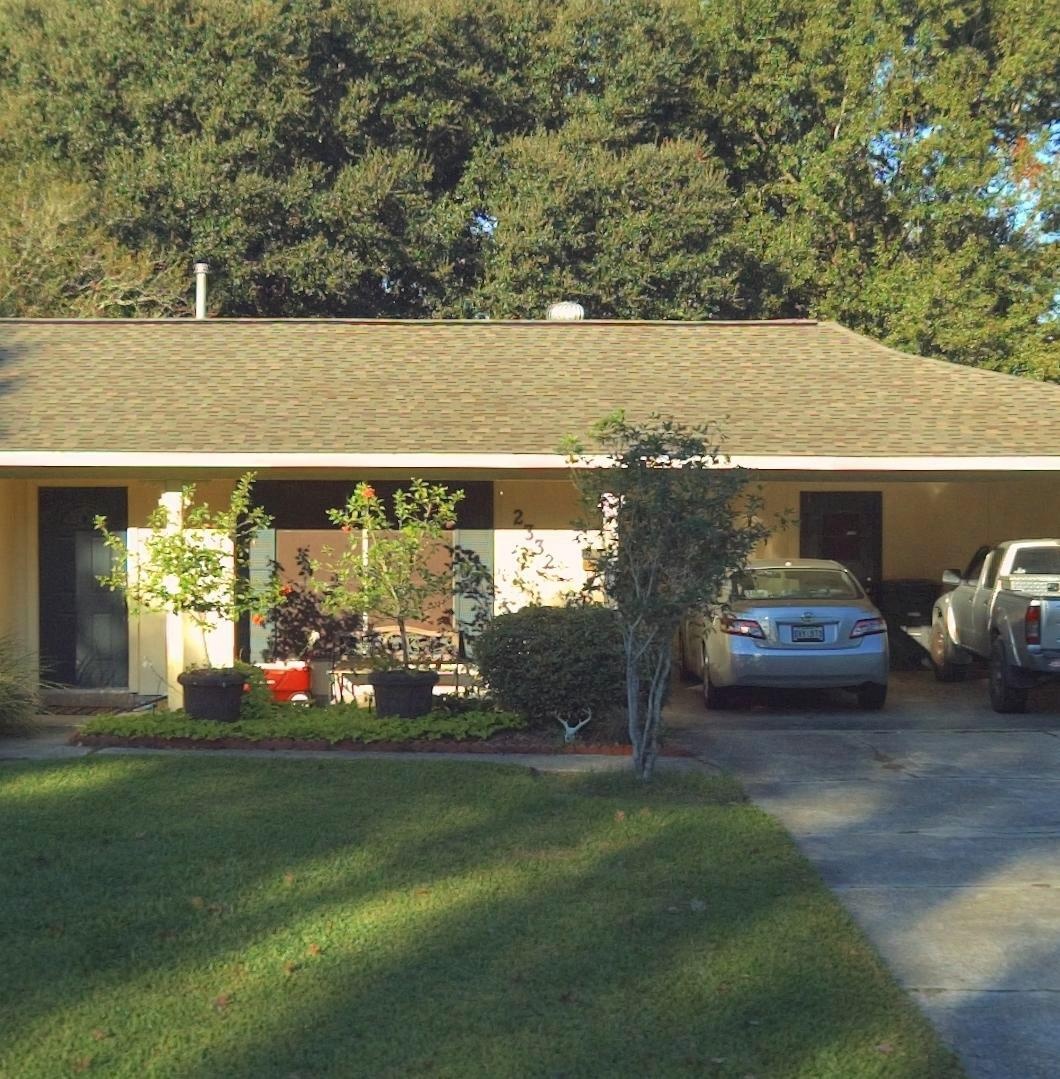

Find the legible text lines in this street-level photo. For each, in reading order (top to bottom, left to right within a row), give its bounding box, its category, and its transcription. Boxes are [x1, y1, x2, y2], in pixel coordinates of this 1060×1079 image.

[511, 507, 556, 571] StreetNumber: 2332